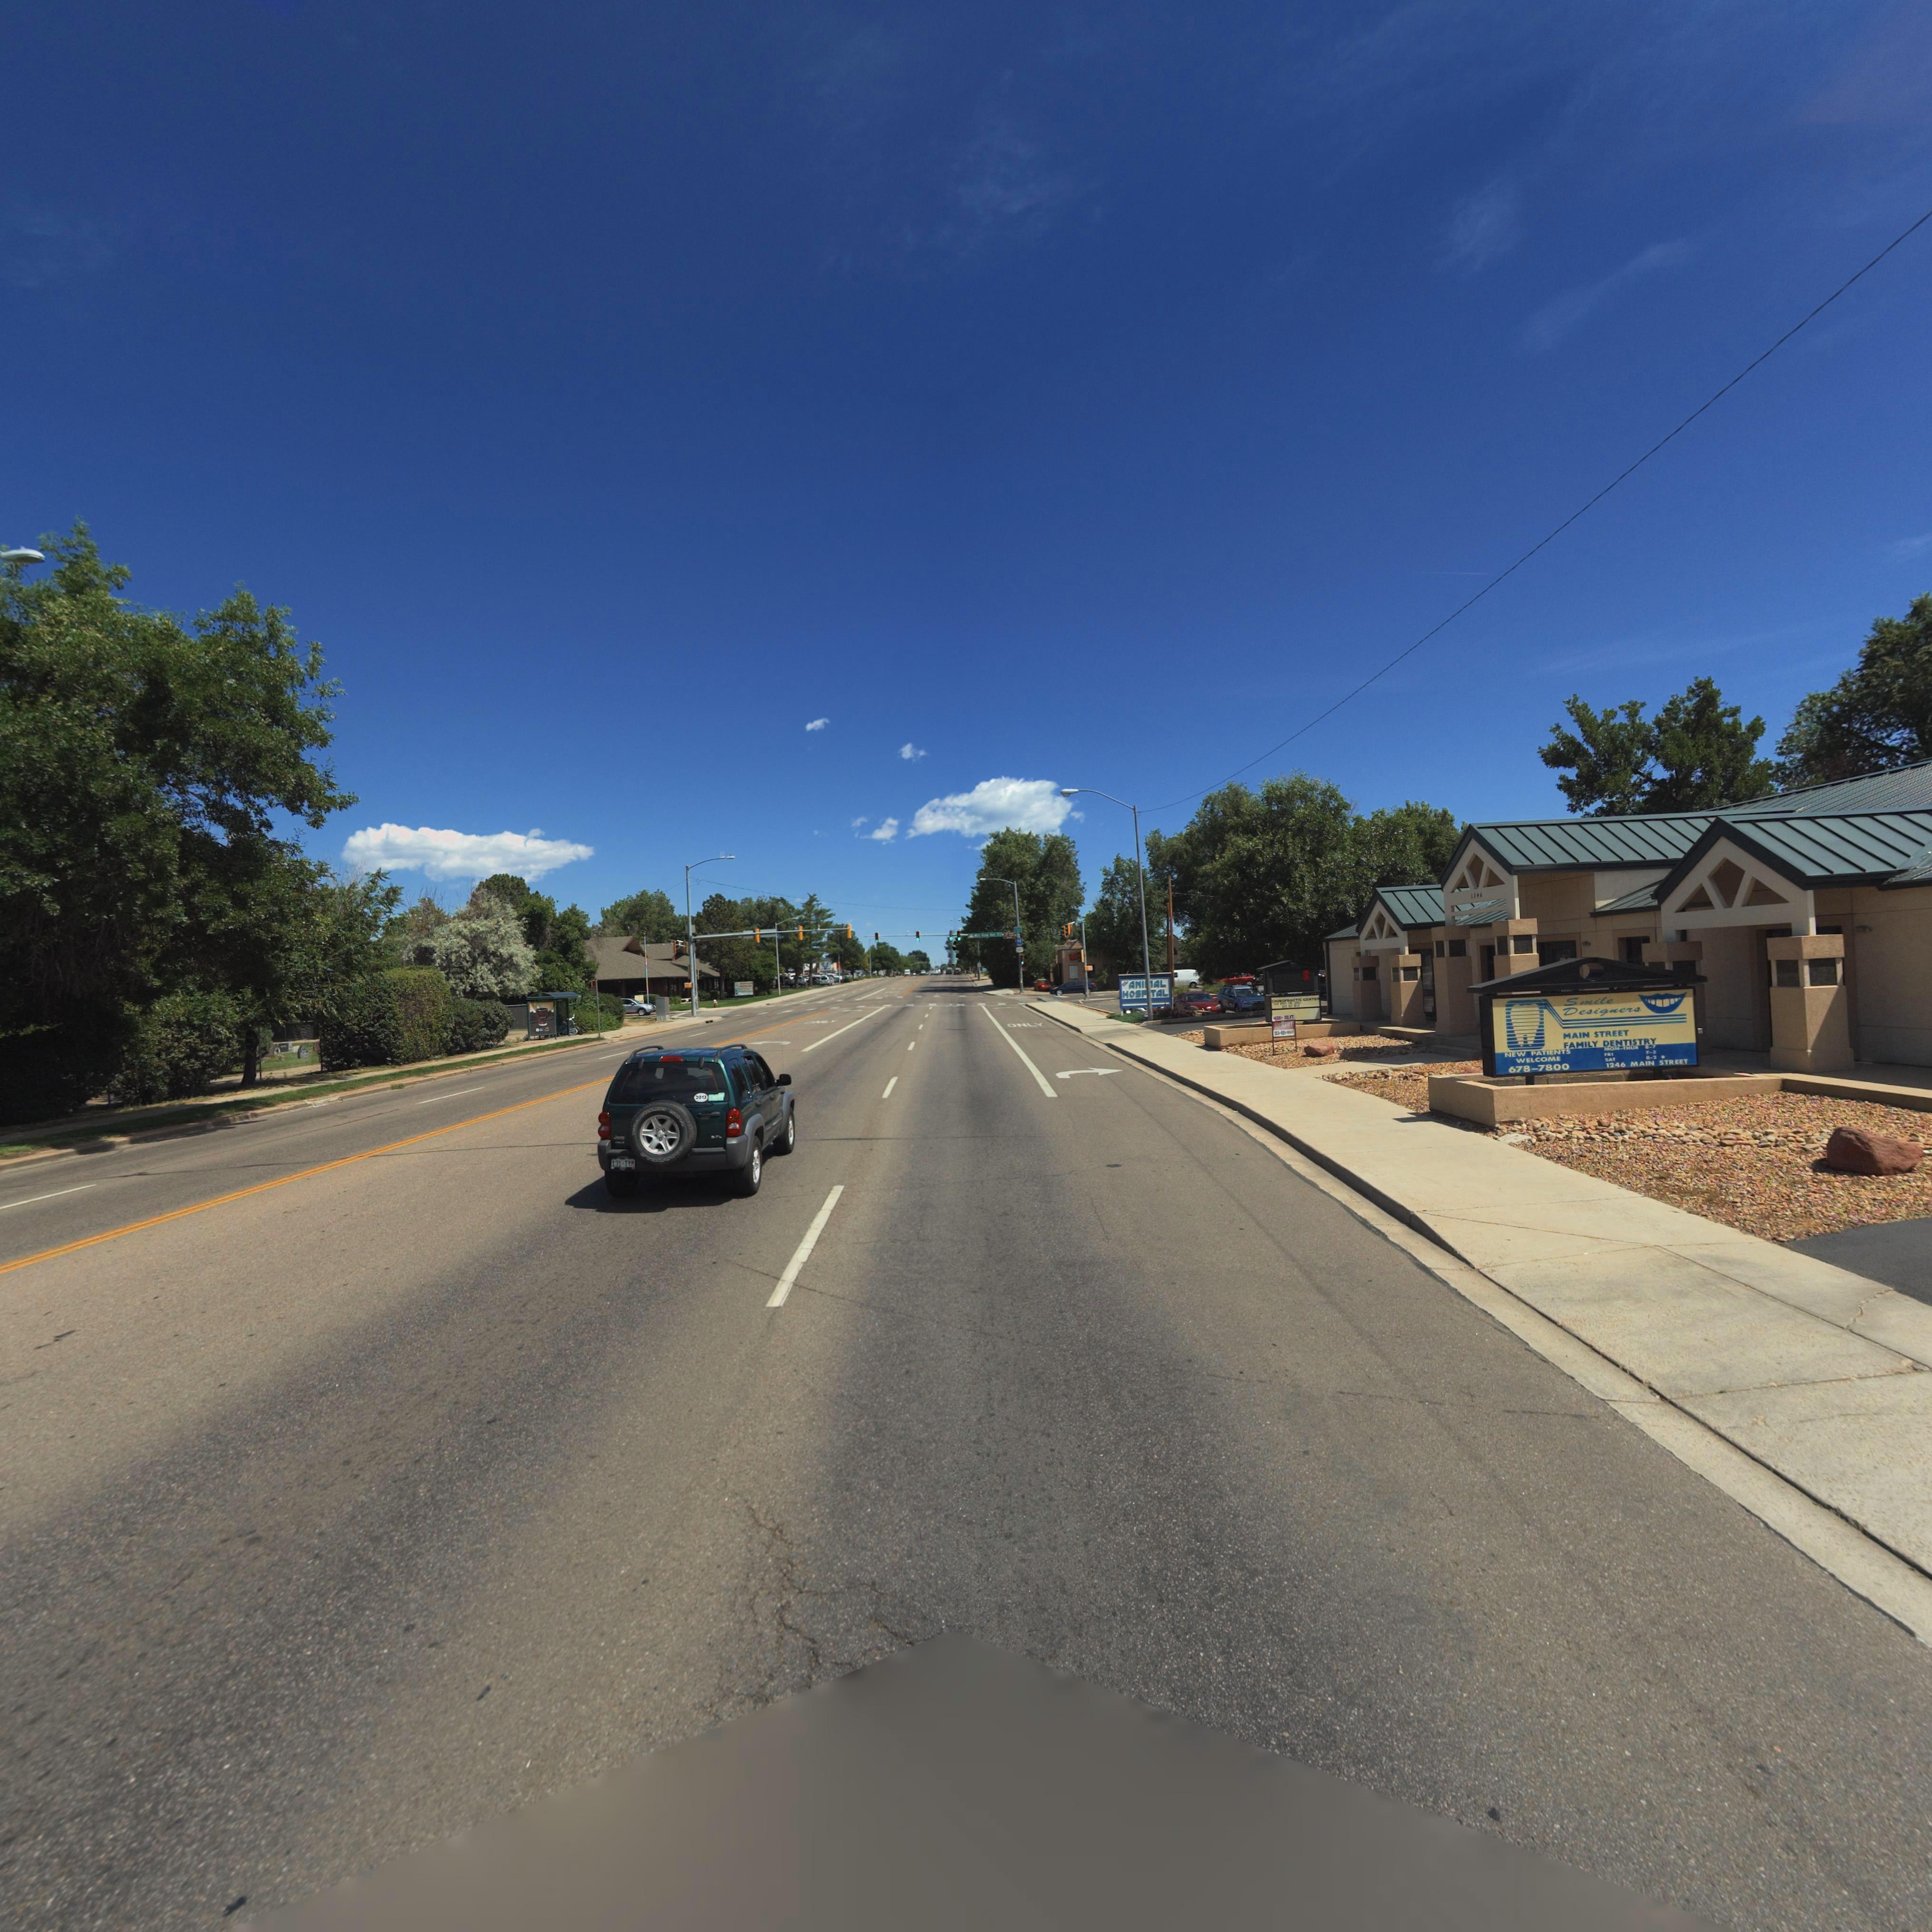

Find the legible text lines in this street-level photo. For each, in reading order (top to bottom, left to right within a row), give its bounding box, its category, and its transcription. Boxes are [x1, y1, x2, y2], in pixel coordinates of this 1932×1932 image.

[1470, 891, 1482, 898] StreetNumber: 12*6
[1128, 979, 1166, 989] BusinessName: ANI*AL
[1122, 988, 1169, 998] BusinessName: HOS**TAL
[1564, 996, 1613, 1006] BusinessName: Smile
[1563, 1006, 1640, 1017] BusinessName: Designers
[1605, 1062, 1626, 1068] StreetNumber: 1246
[1630, 1058, 1689, 1067] StreetName: MAIN STREET